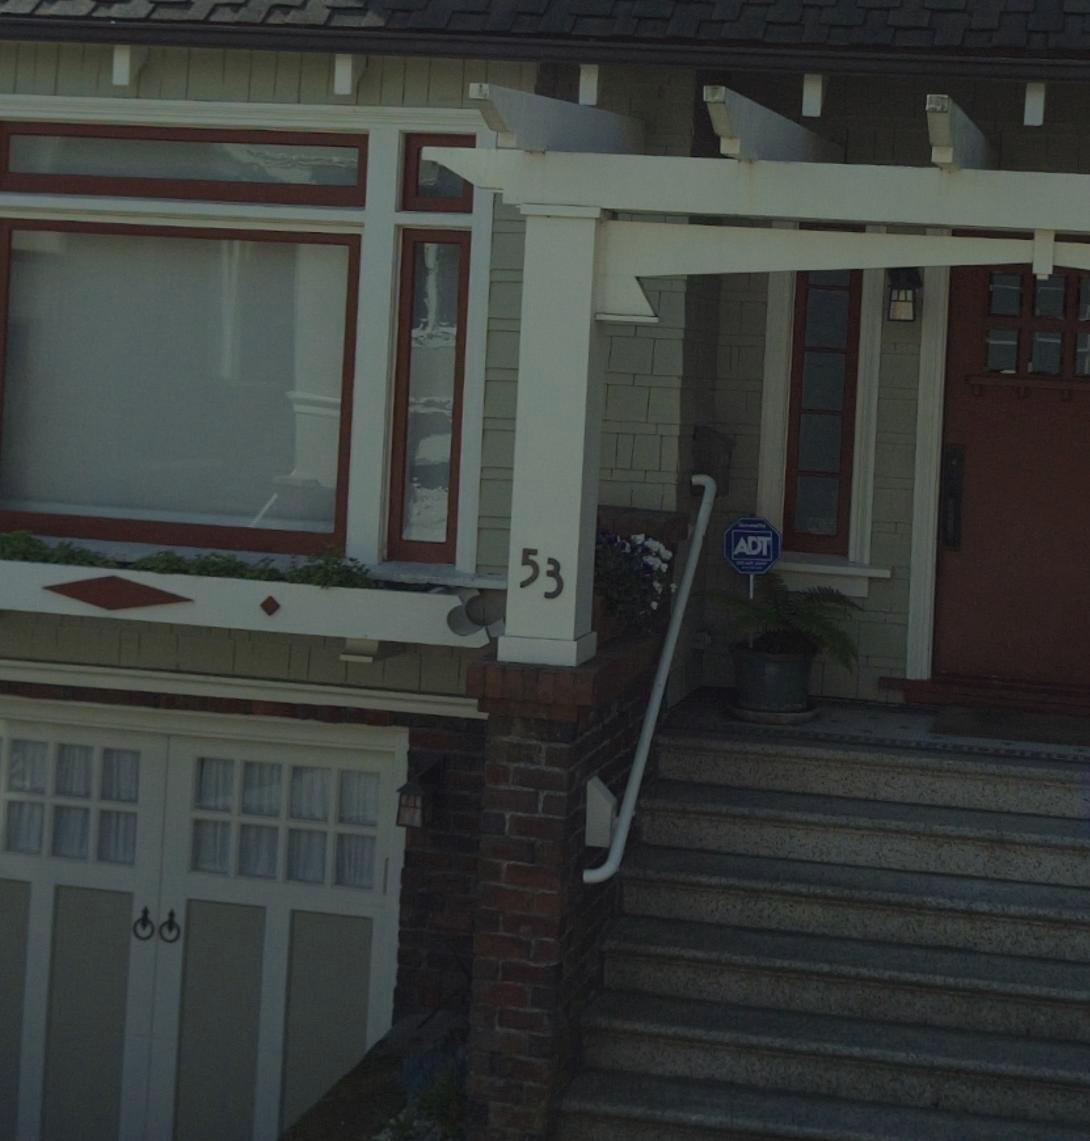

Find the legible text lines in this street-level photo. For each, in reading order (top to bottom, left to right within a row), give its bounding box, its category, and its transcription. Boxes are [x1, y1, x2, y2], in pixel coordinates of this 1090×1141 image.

[517, 542, 566, 607] StreetNumber: 53
[733, 535, 772, 558] None: ADT